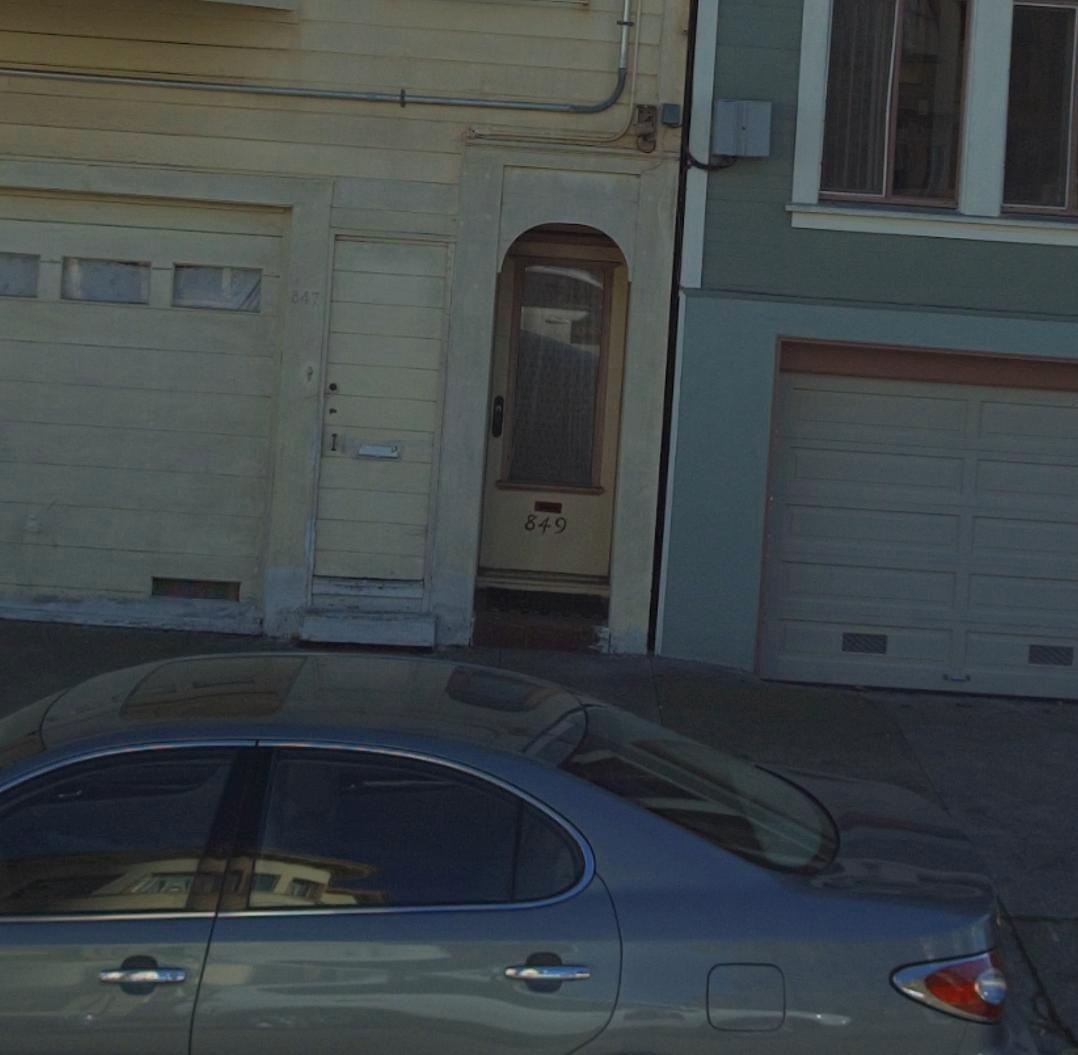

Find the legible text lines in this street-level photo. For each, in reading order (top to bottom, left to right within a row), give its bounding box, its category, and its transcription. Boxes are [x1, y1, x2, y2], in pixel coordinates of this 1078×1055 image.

[290, 288, 322, 307] StreetNumber: 847
[523, 513, 570, 537] StreetNumber: 849